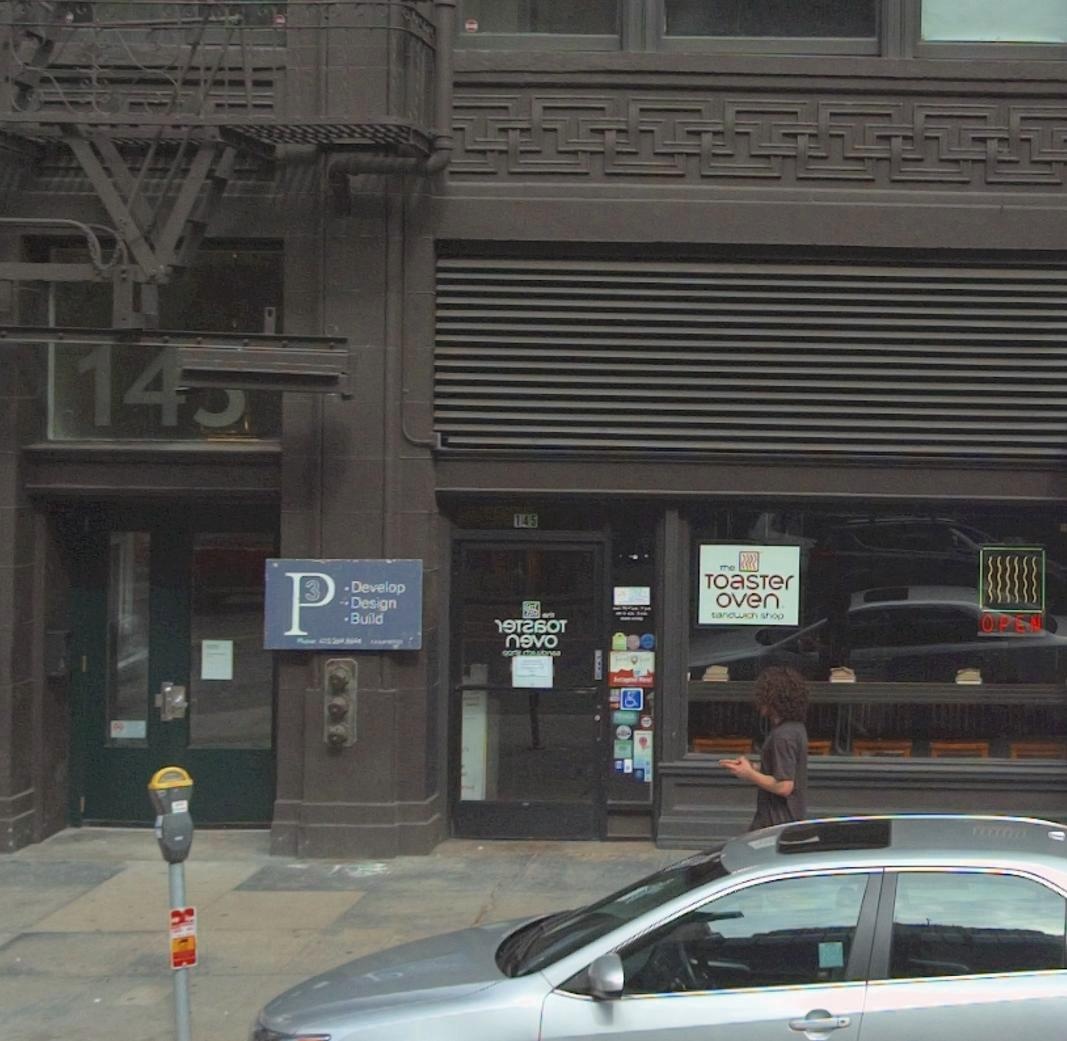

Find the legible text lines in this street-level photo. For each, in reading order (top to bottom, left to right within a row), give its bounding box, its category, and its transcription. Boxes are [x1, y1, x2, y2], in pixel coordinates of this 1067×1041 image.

[72, 338, 194, 432] StreetNumber: 14
[514, 513, 538, 528] StreetNumber: 145
[280, 567, 339, 638] None: P
[302, 575, 323, 604] None: 3
[348, 593, 400, 615] None: Design
[349, 577, 409, 600] None: Develop
[713, 589, 783, 612] BusinessName: oven
[701, 569, 797, 593] BusinessName: ToasTer
[348, 609, 387, 629] None: BUILD
[491, 616, 570, 637] None: **T**OT
[977, 609, 1045, 638] None: OPEN
[501, 631, 562, 652] None: n*vo